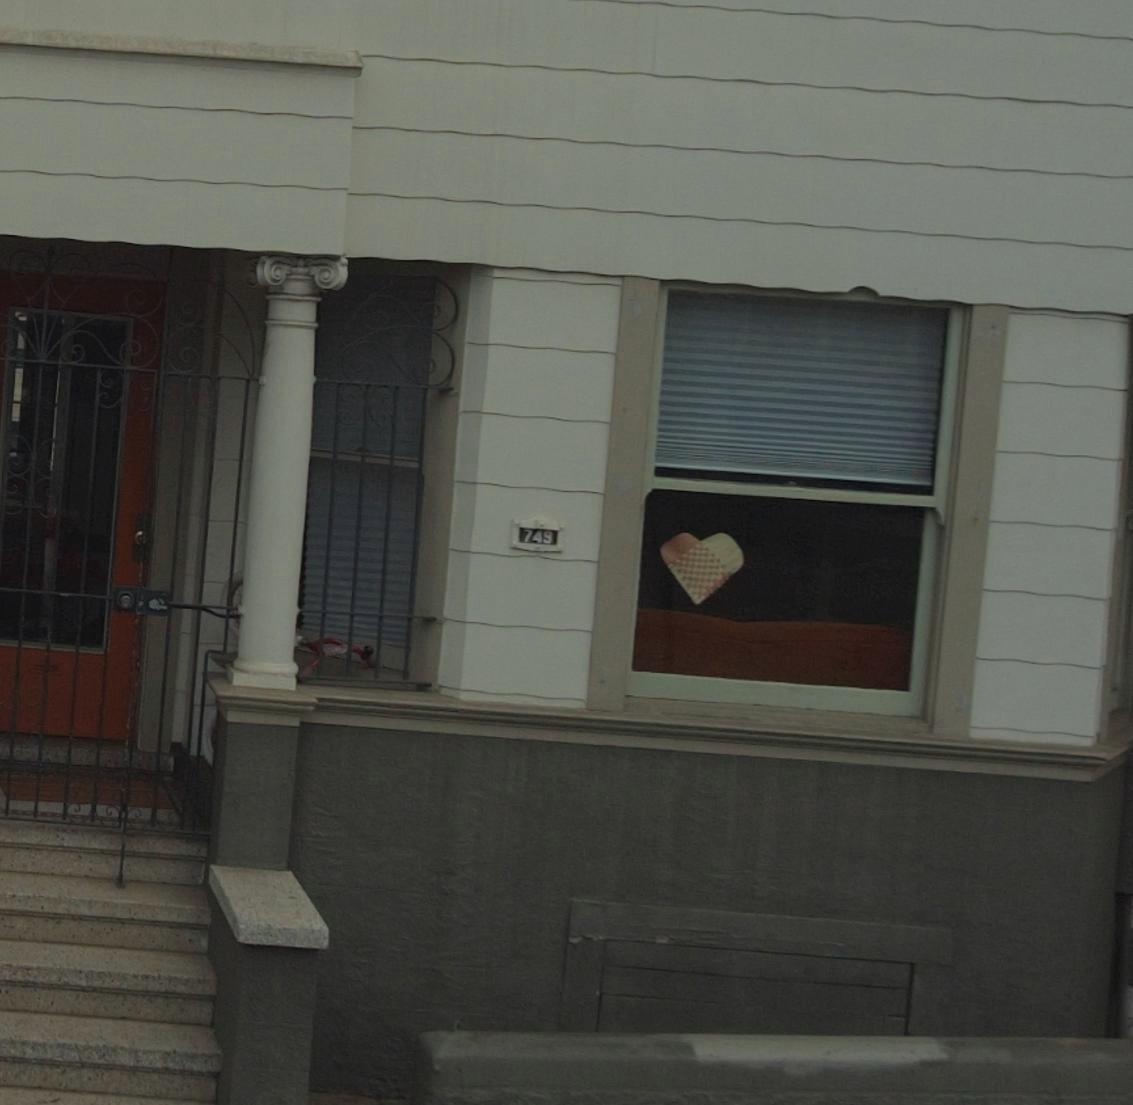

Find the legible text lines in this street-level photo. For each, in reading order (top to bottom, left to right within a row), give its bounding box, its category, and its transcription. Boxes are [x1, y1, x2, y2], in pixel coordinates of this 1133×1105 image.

[522, 528, 553, 545] StreetNumber: 749